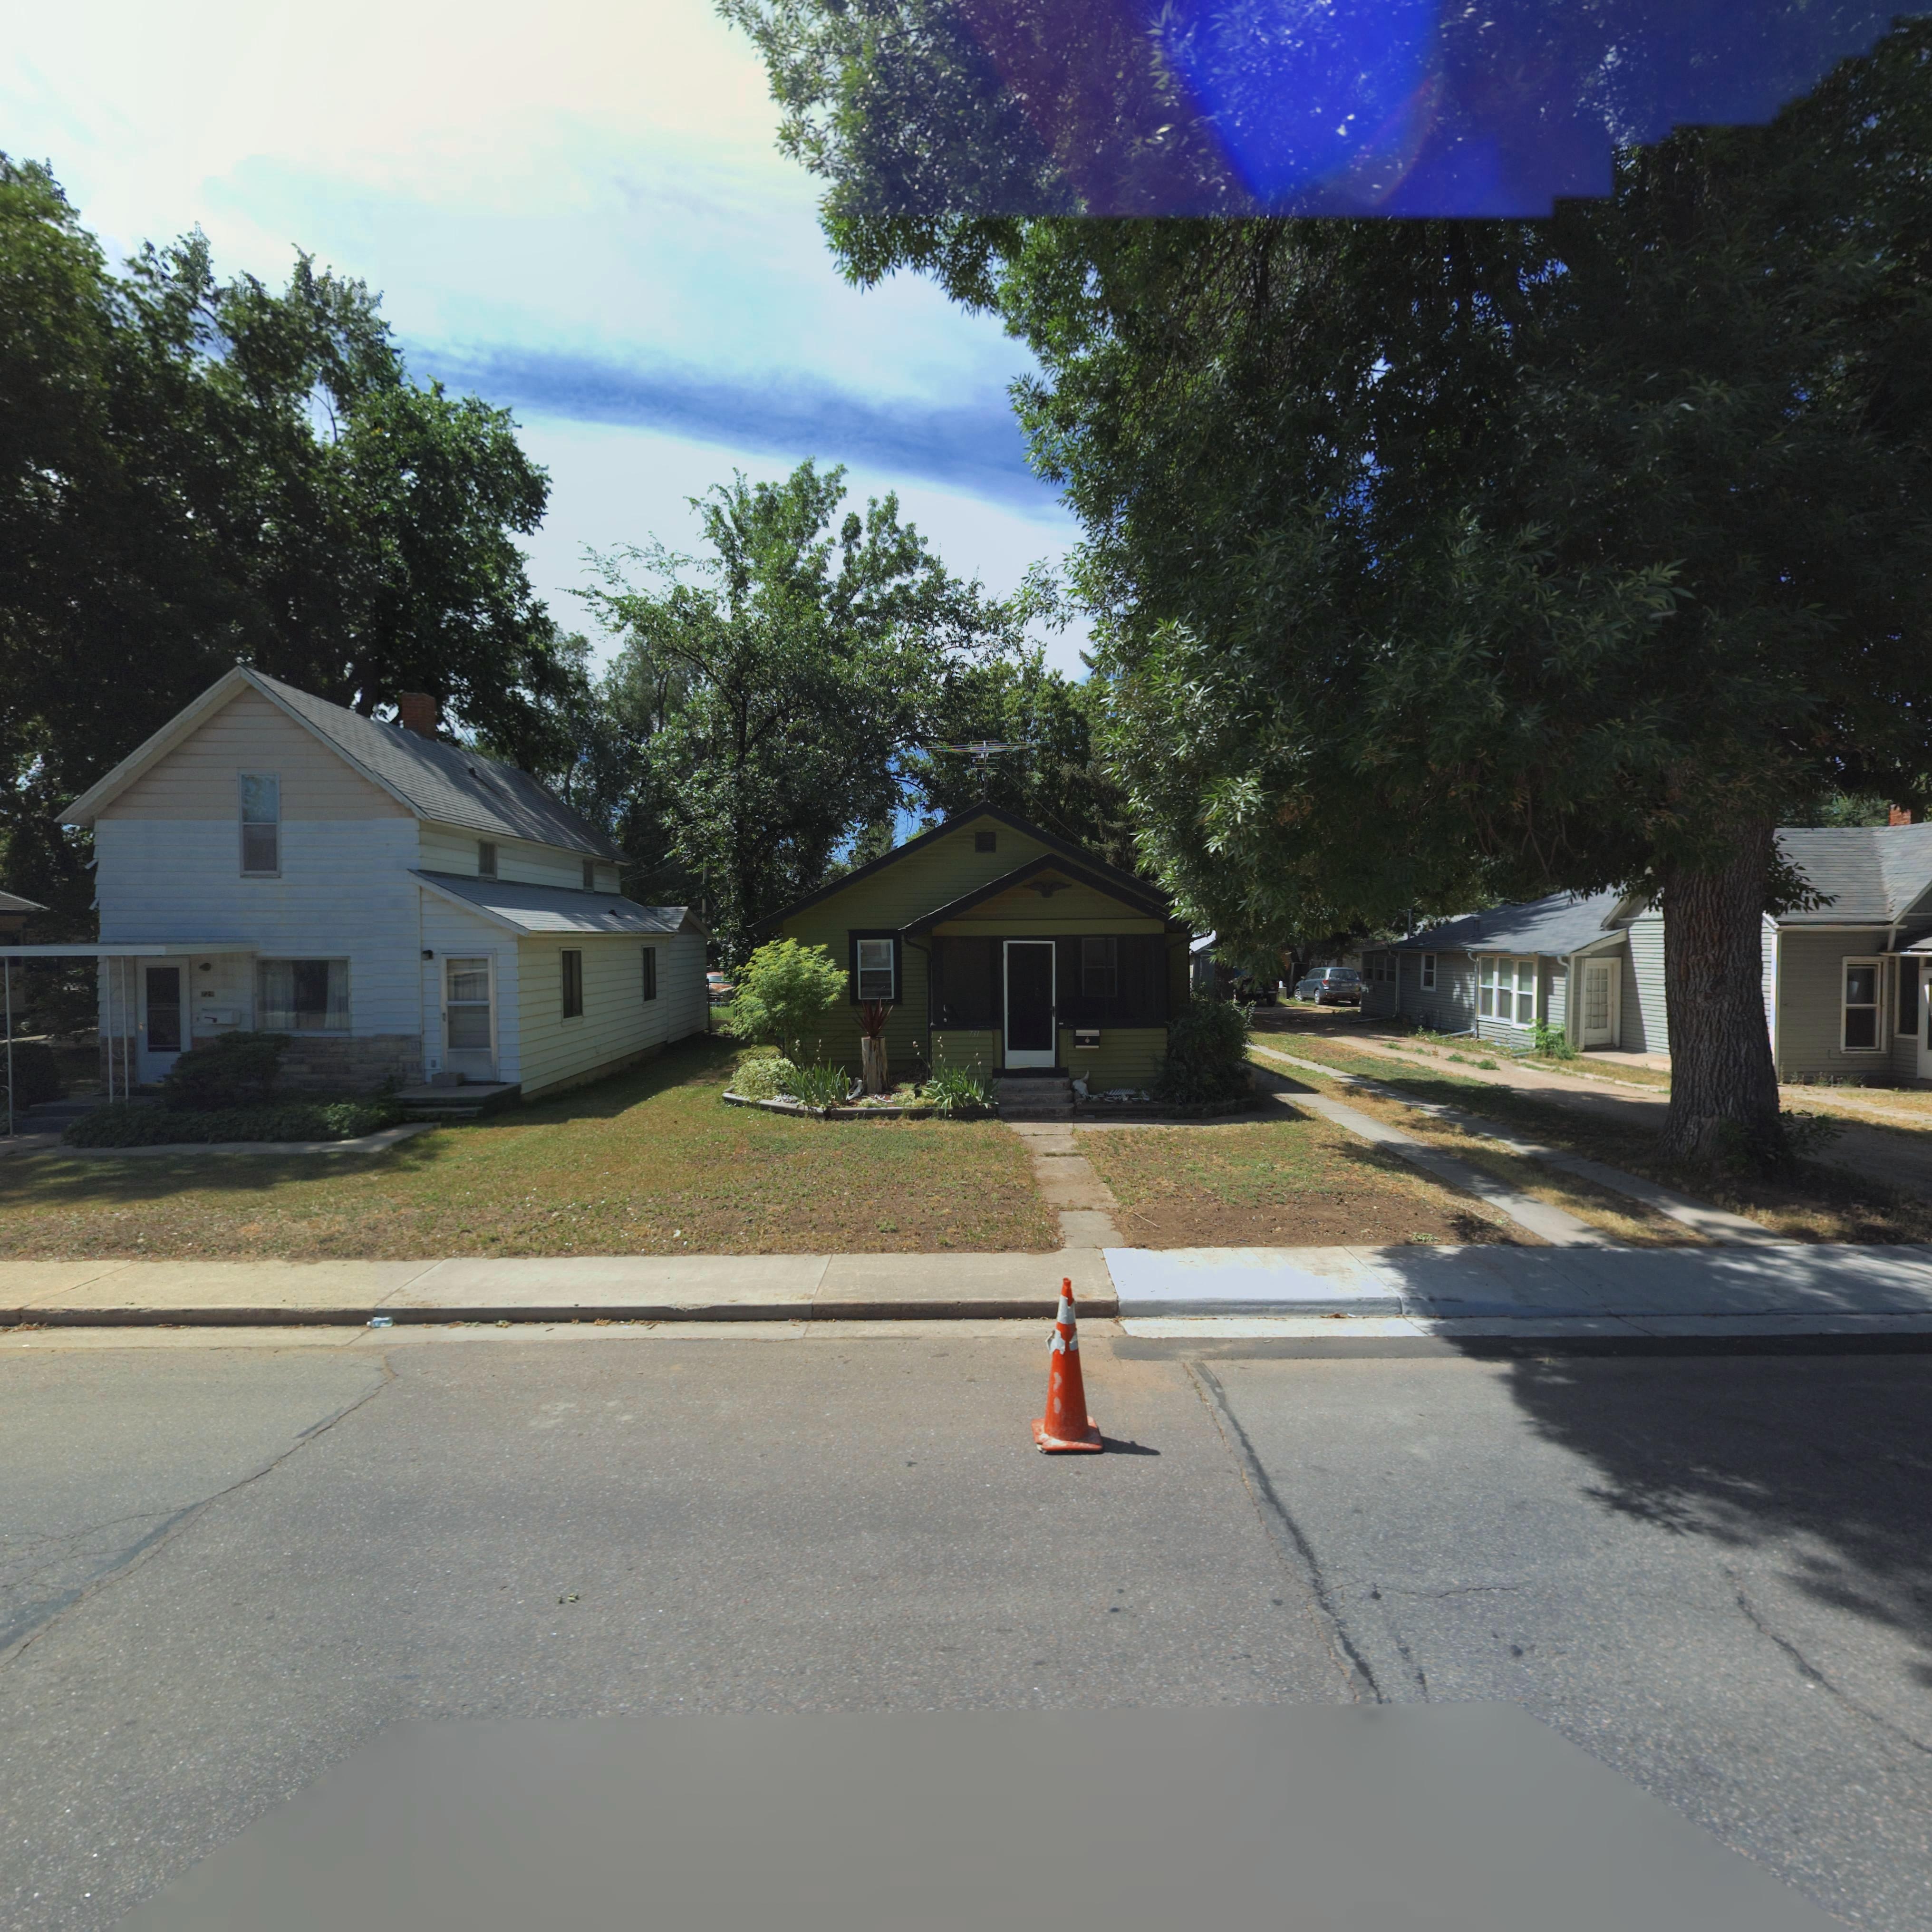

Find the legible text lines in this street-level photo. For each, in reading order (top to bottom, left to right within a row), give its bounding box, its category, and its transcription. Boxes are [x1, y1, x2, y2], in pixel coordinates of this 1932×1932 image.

[967, 1030, 980, 1038] StreetNumber: 731